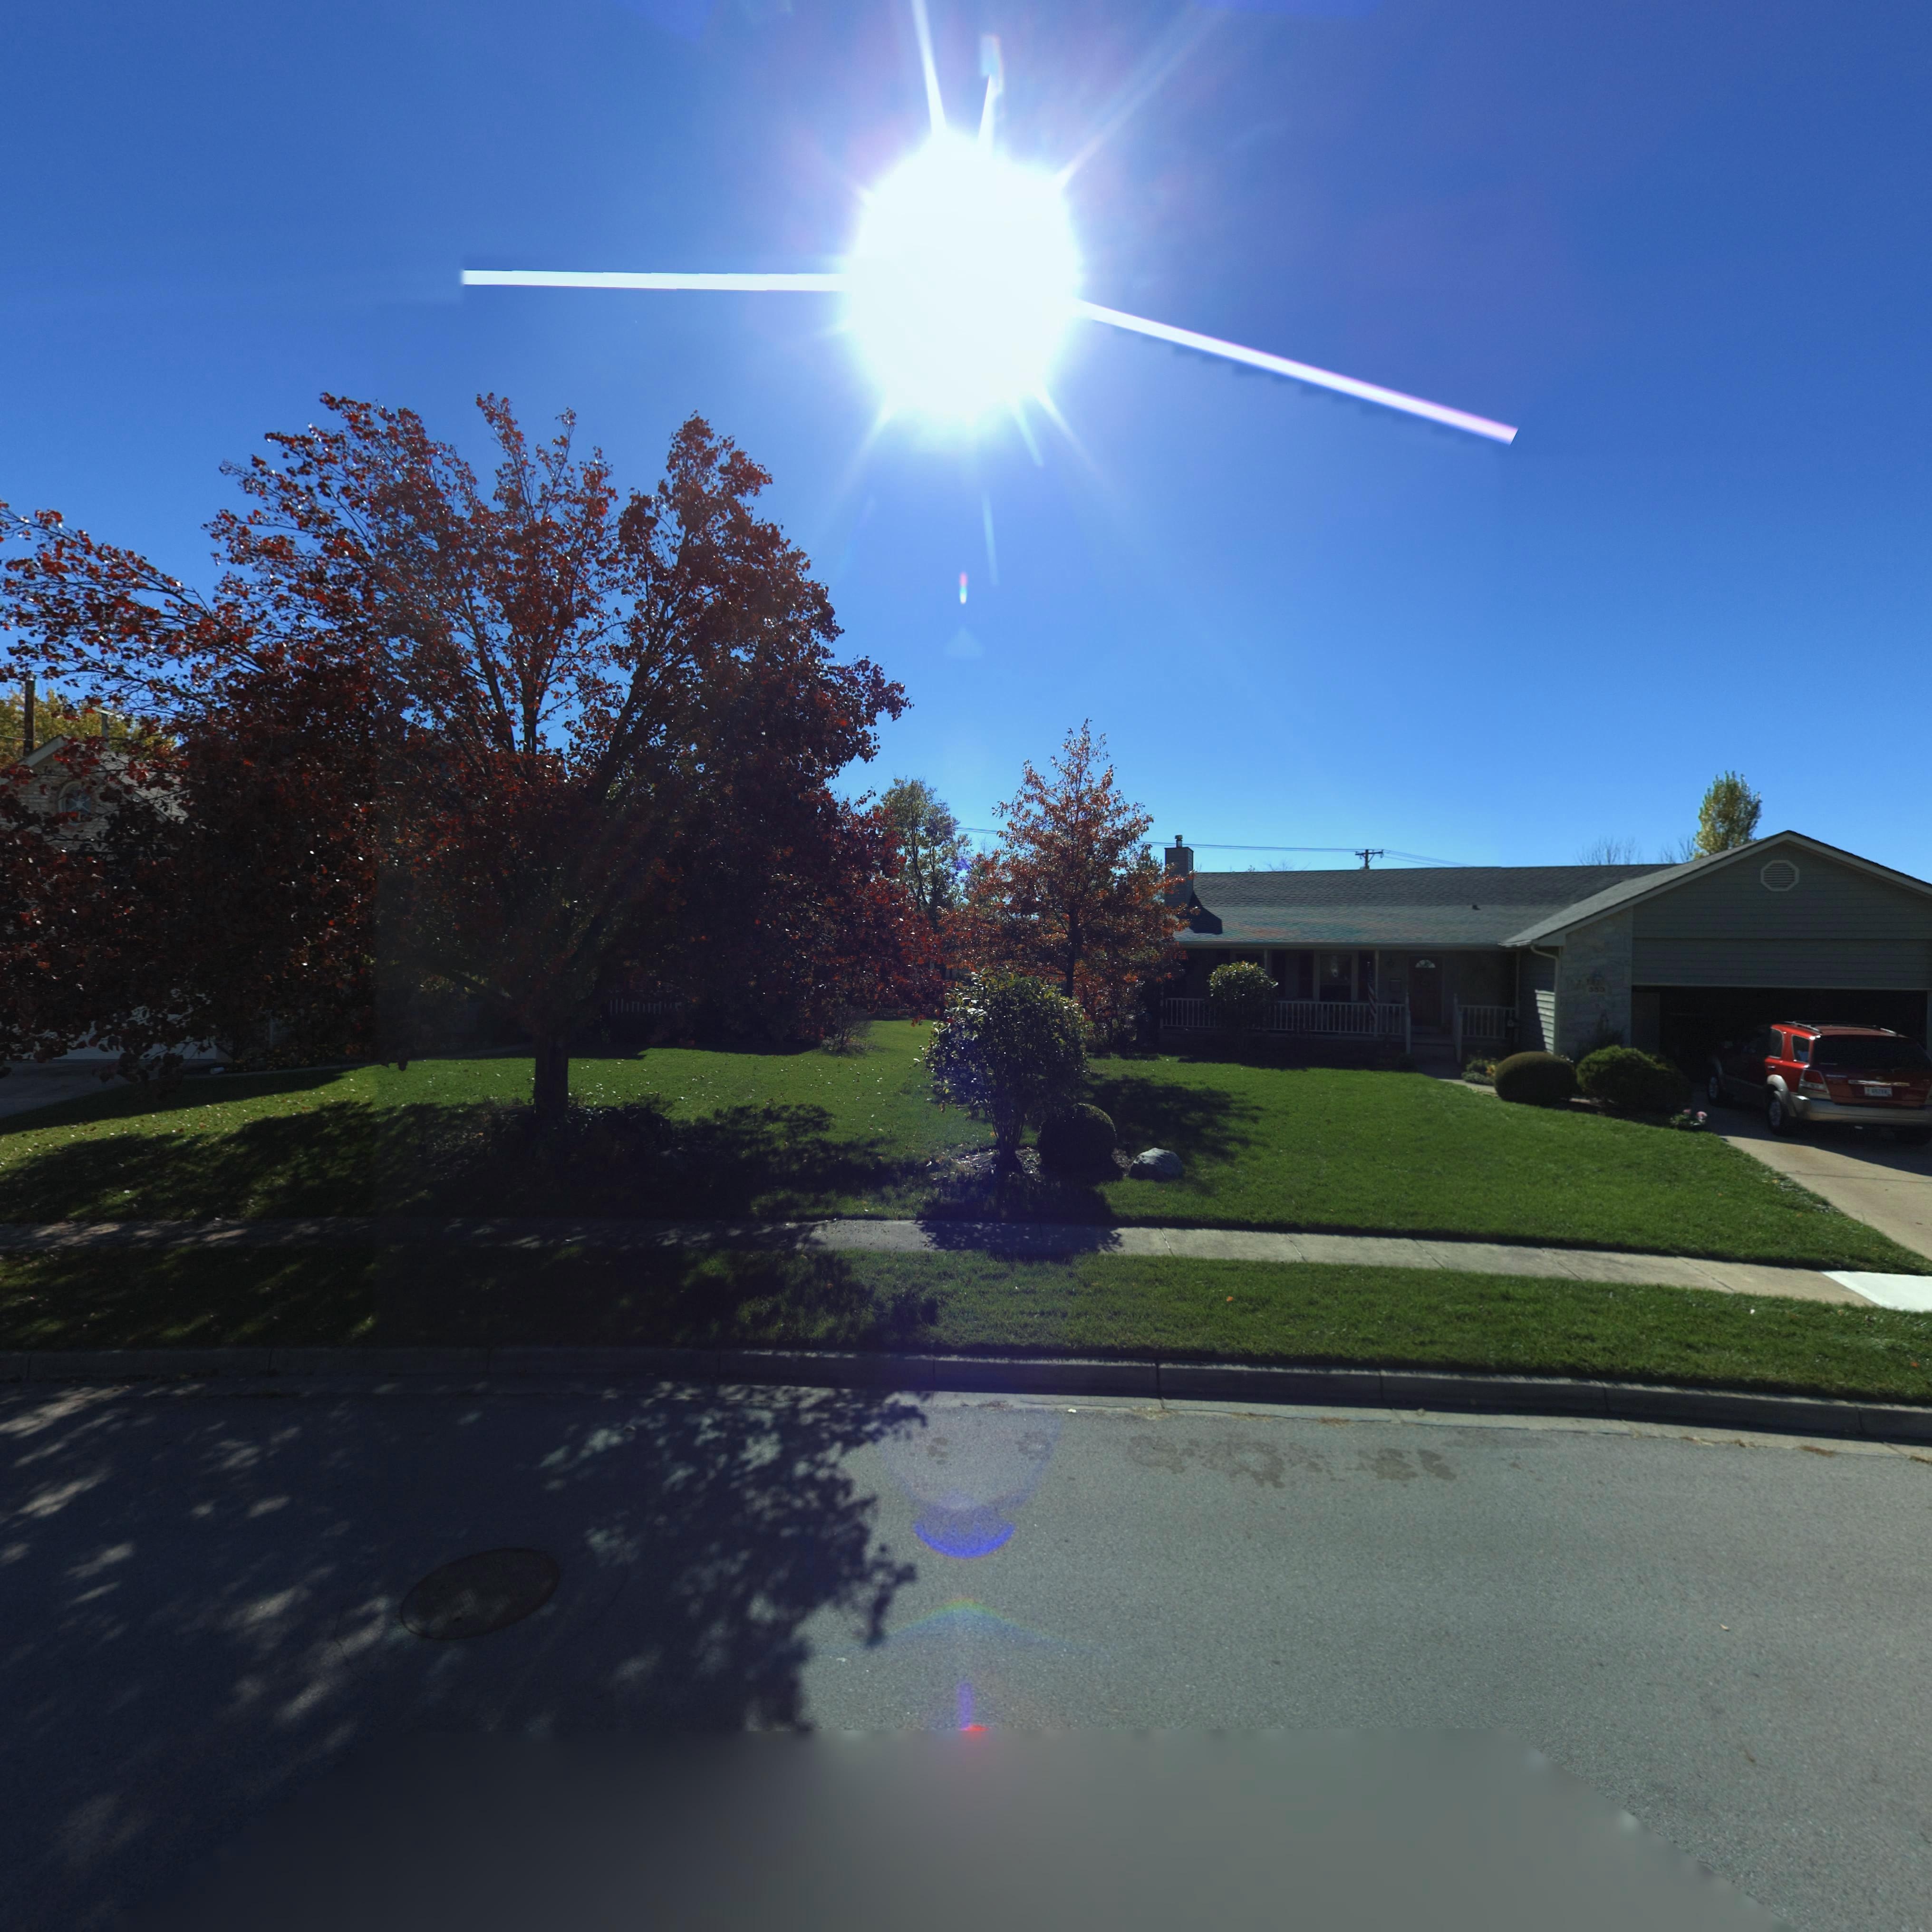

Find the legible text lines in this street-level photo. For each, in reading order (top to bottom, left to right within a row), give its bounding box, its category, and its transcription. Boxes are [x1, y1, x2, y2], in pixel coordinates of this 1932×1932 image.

[1588, 985, 1606, 994] StreetNumber: 35*